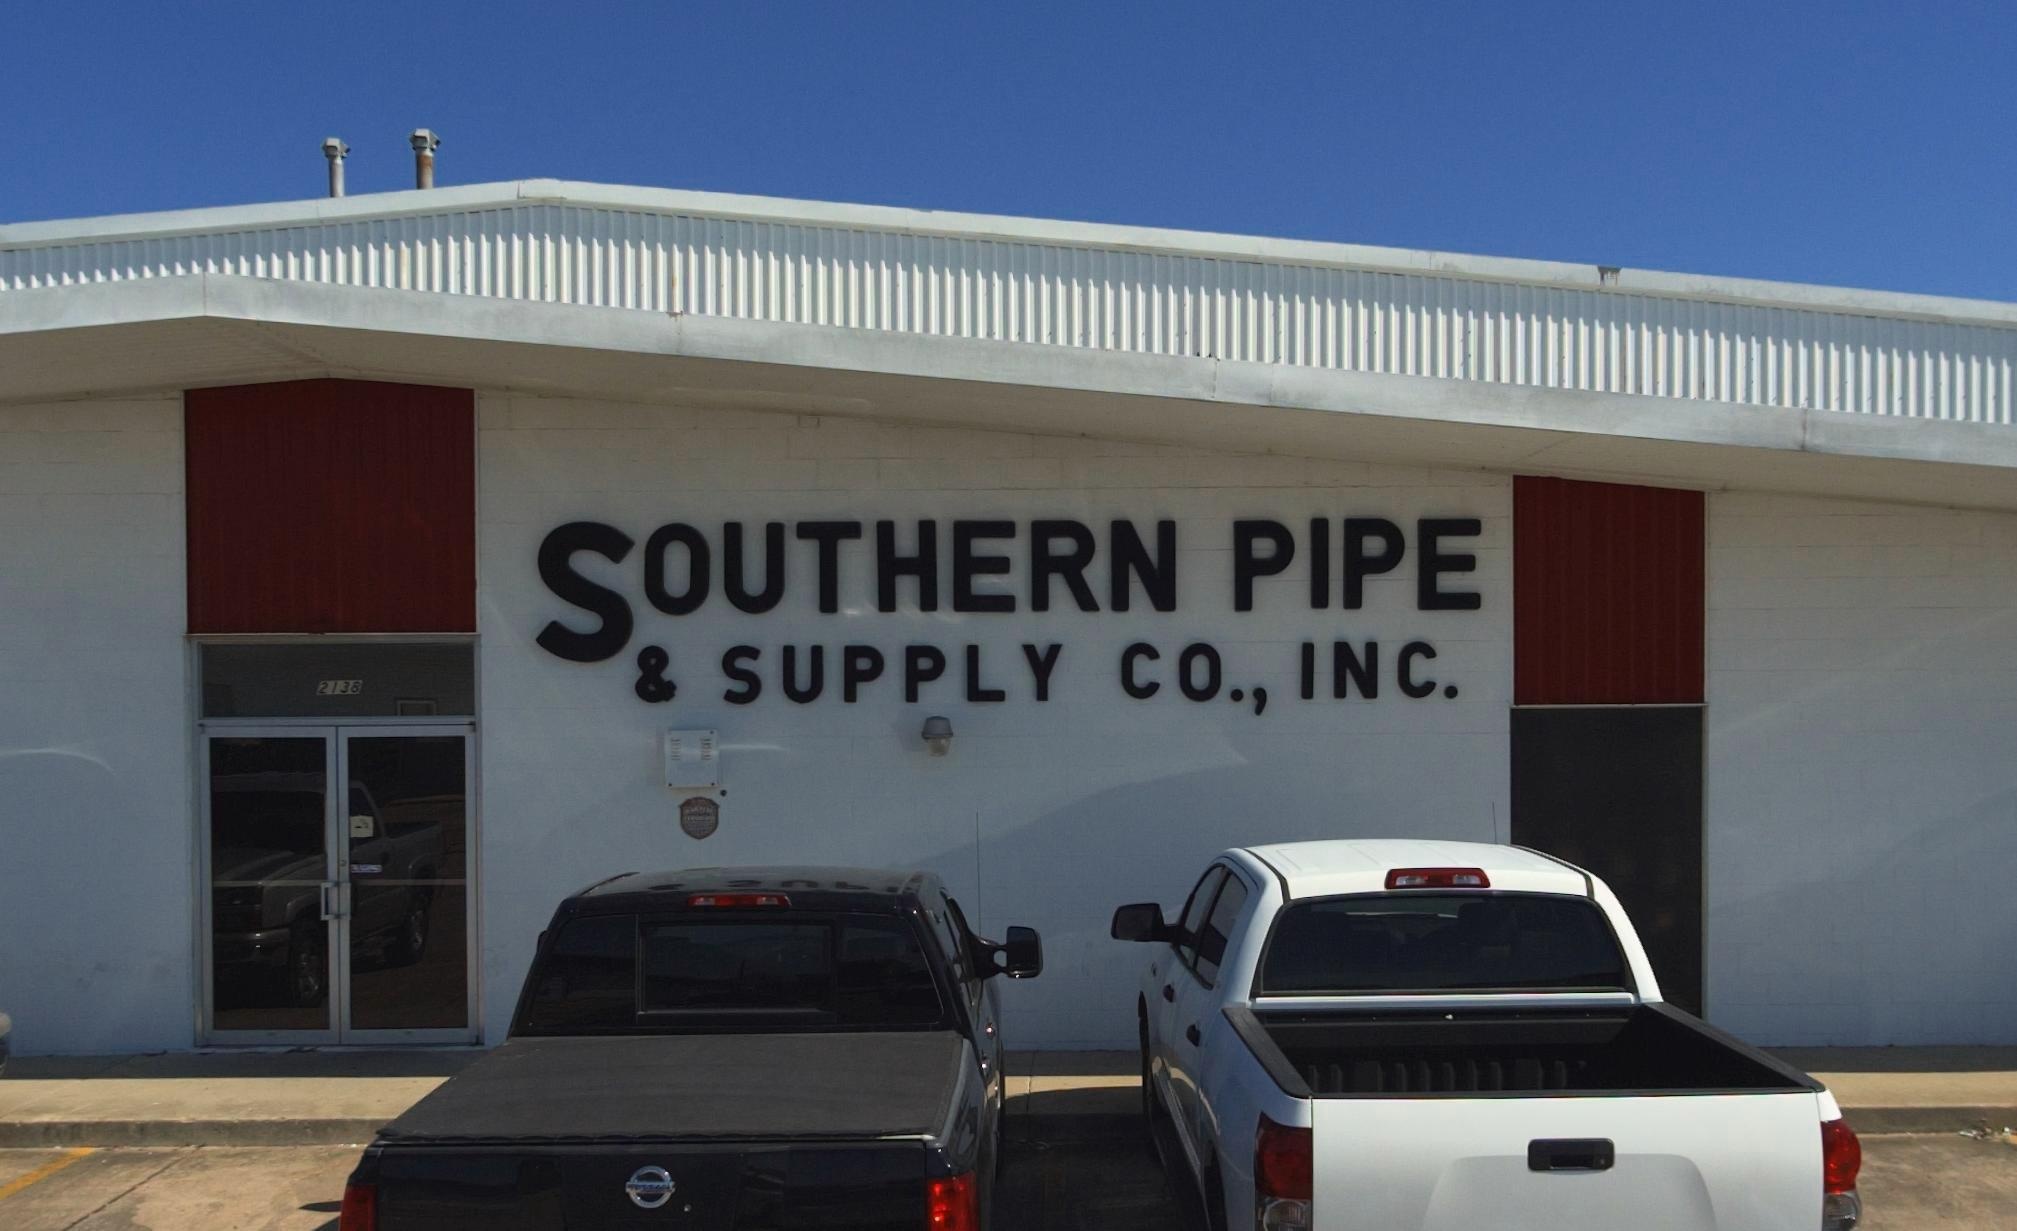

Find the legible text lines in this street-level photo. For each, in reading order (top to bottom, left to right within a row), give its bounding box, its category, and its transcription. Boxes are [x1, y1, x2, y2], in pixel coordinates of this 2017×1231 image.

[529, 508, 1489, 670] BusinessName: SOUTHERN PIPE
[314, 679, 364, 696] StreetNumber: 2138
[715, 634, 1465, 724] BusinessName: SUPPLY CO., INC.